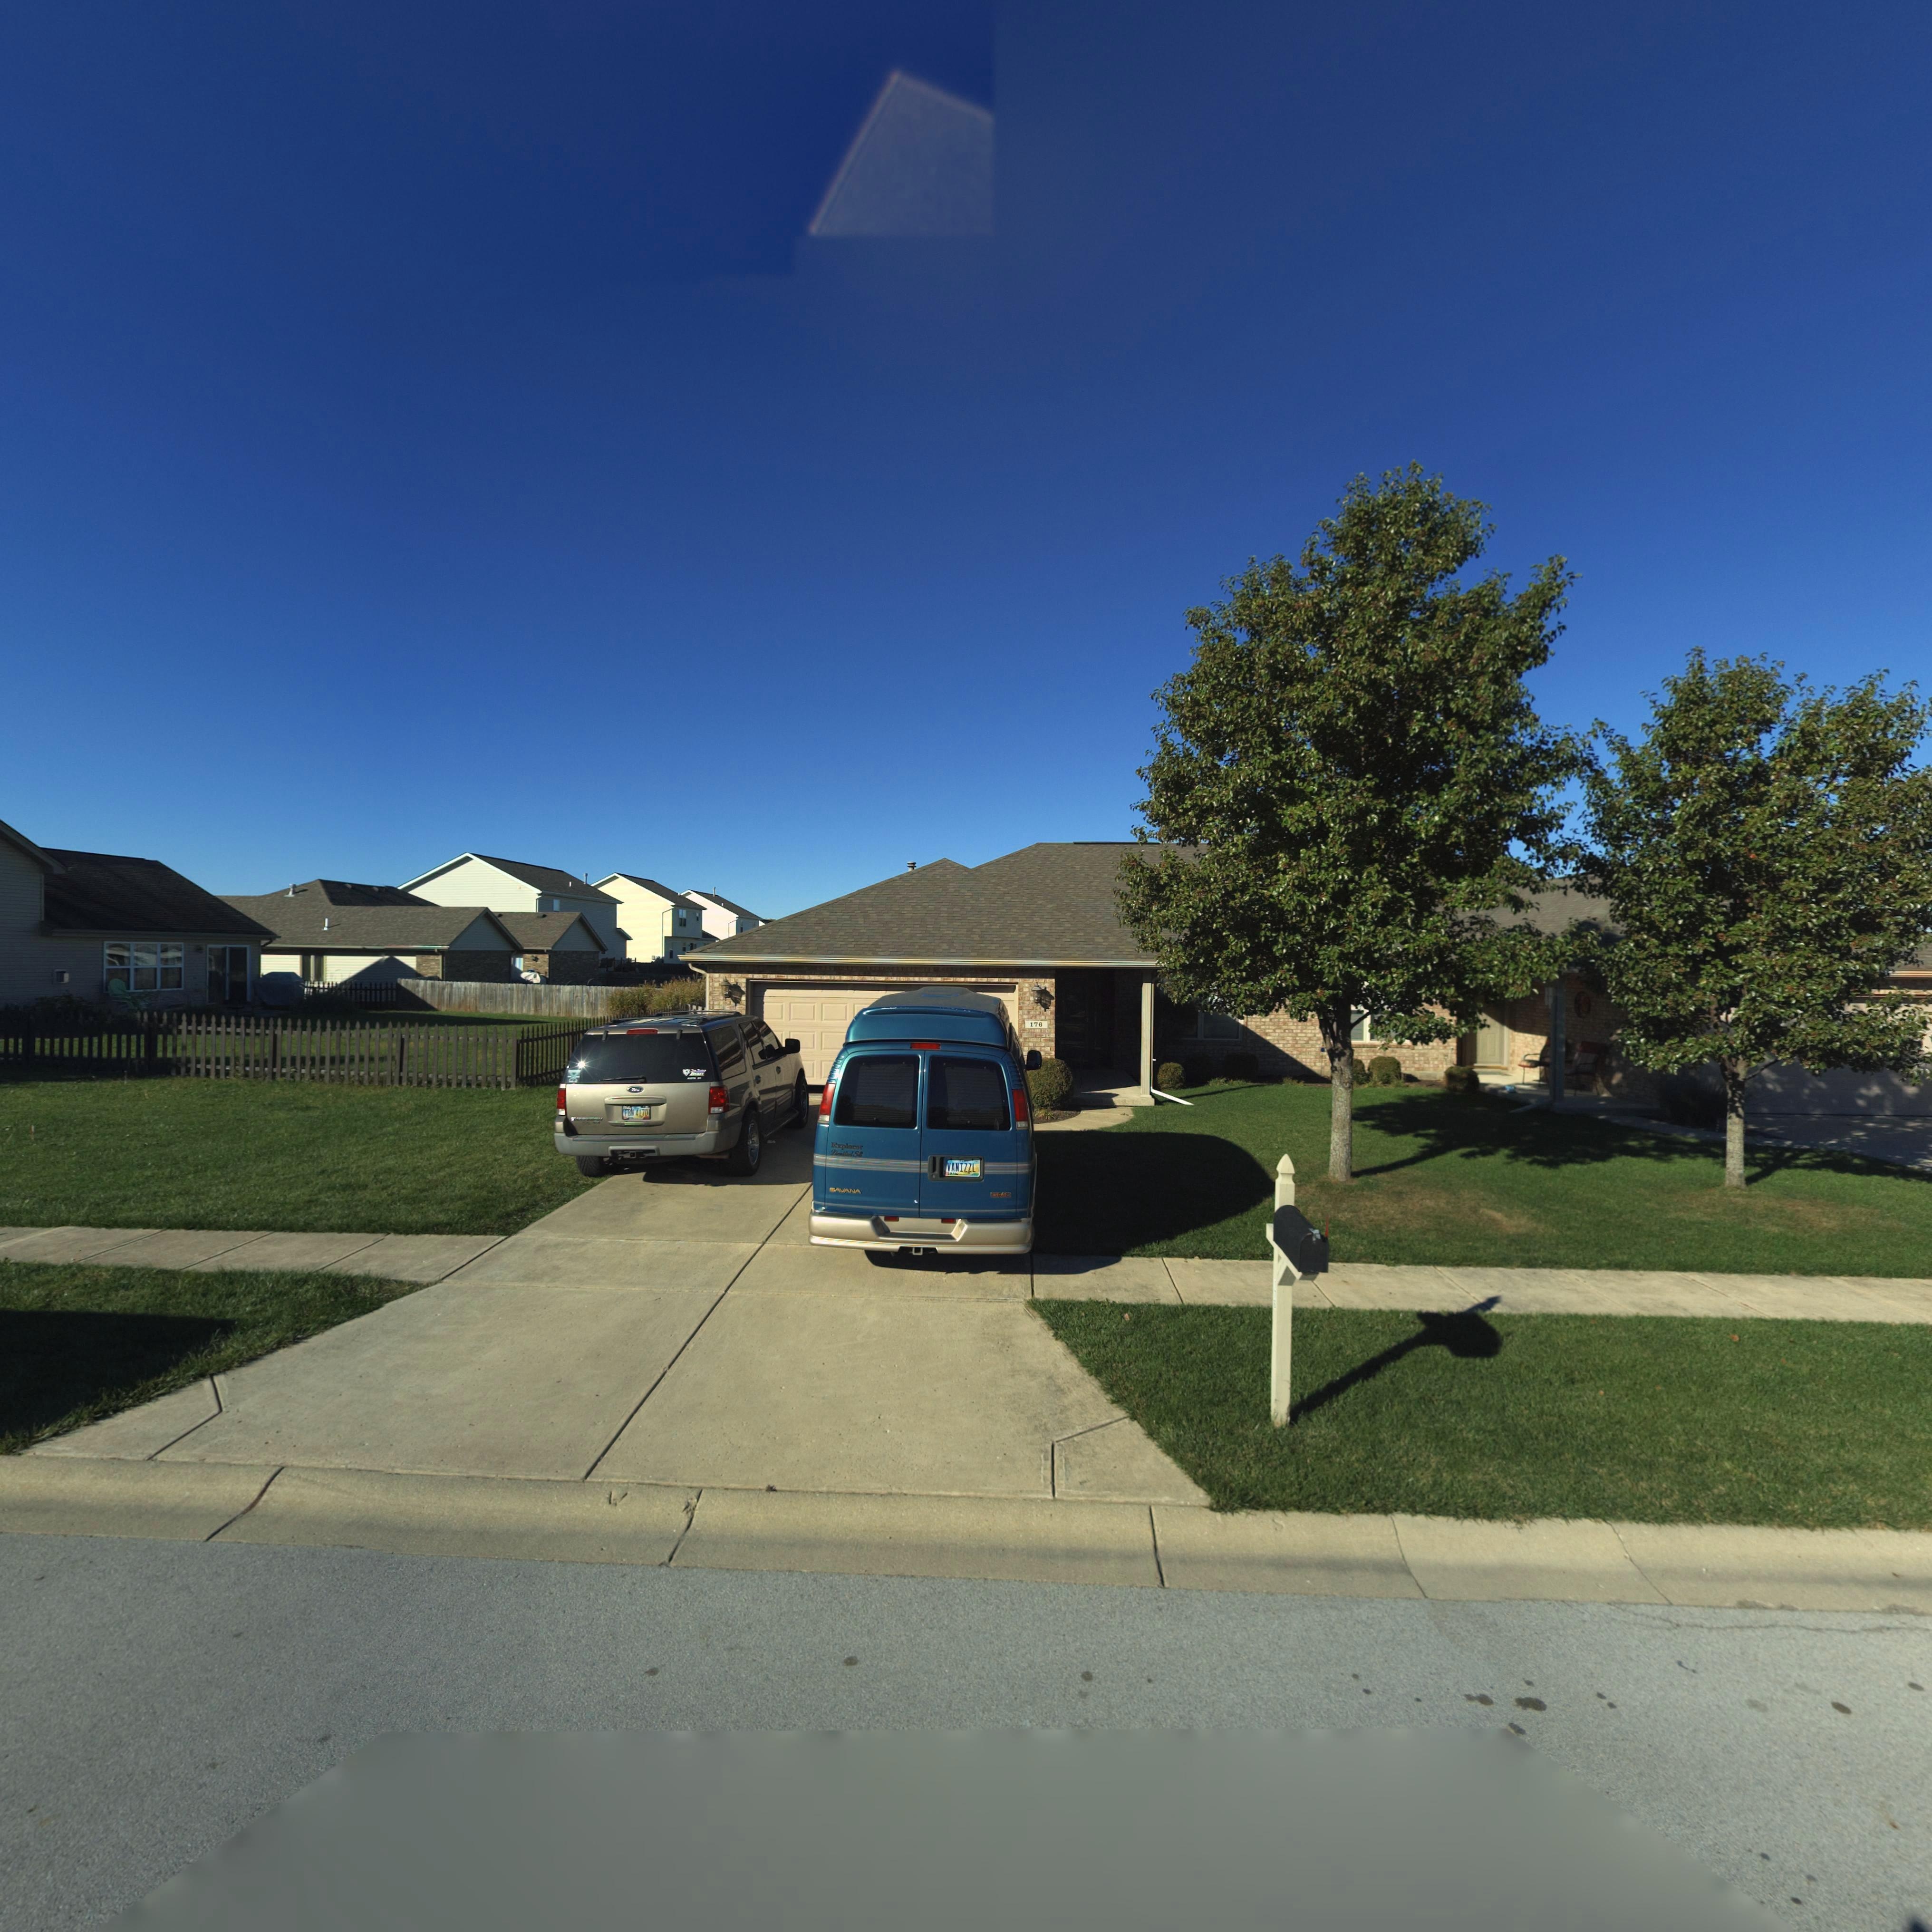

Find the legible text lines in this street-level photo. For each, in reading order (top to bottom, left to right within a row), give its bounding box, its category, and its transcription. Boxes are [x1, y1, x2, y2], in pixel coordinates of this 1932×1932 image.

[1028, 1021, 1044, 1028] StreetNumber: 176